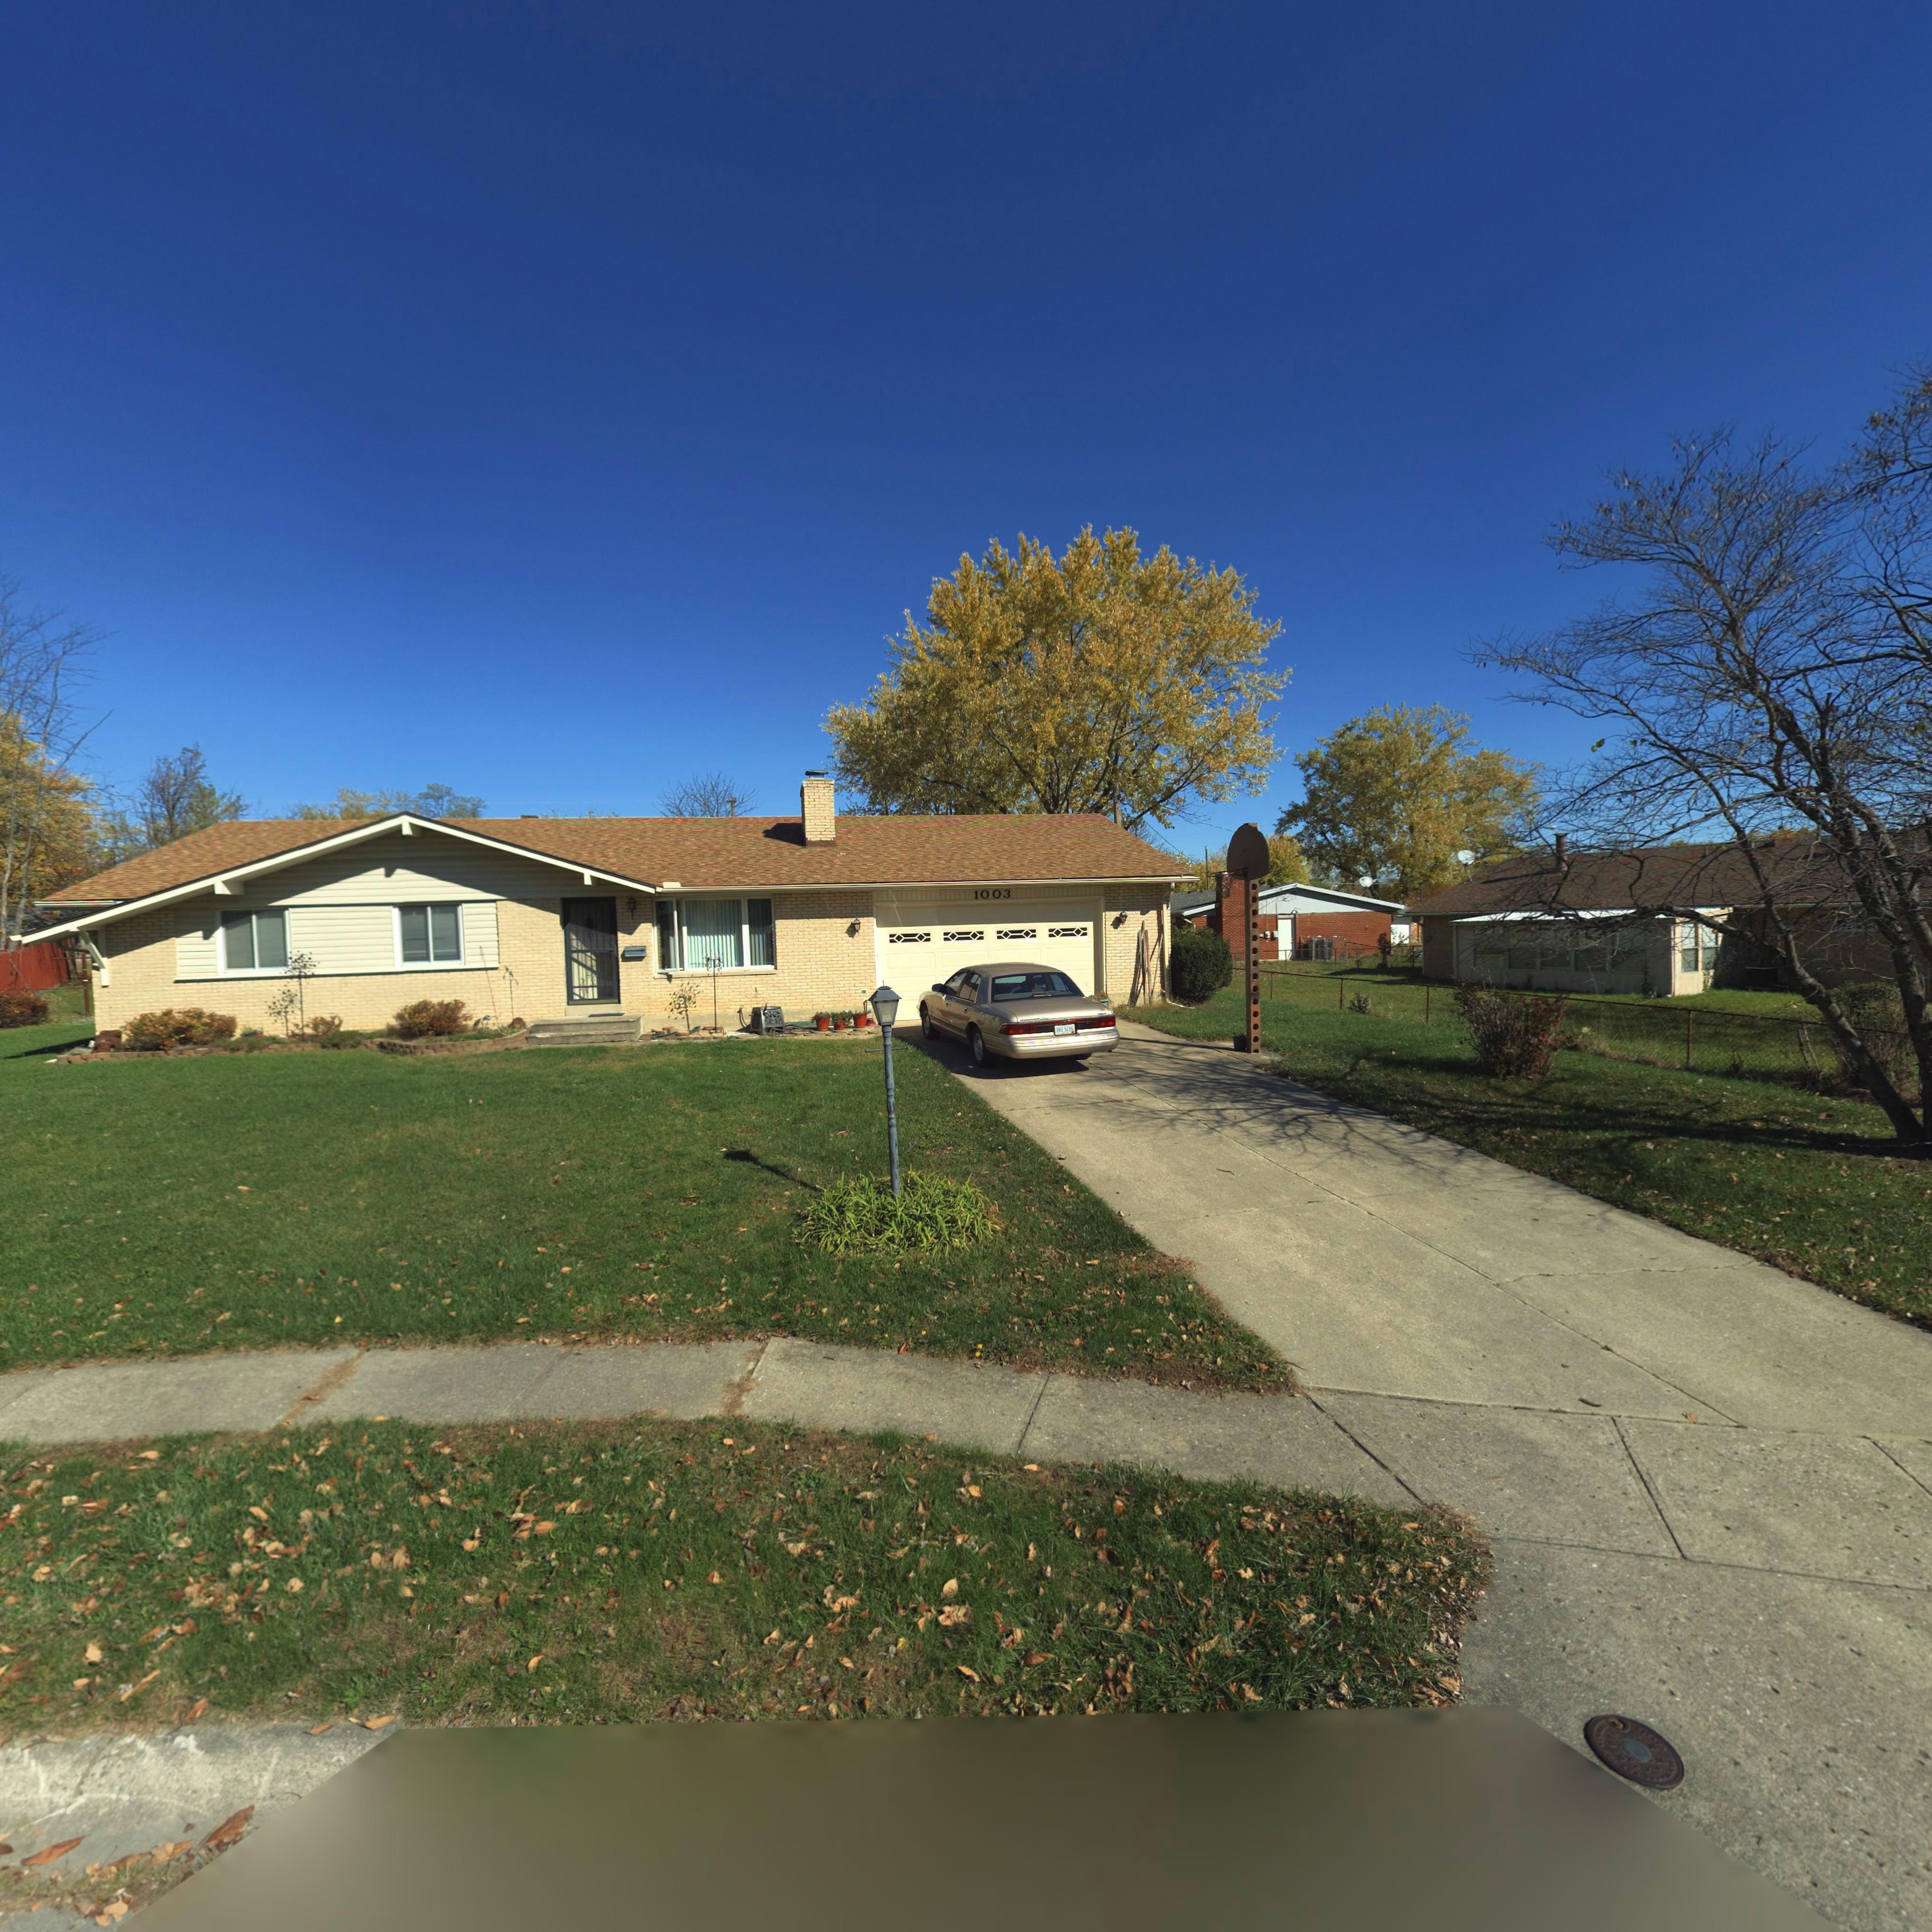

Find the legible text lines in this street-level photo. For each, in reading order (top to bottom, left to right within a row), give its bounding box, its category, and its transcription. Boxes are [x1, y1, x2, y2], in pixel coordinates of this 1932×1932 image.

[973, 889, 1011, 900] StreetNumber: 1003